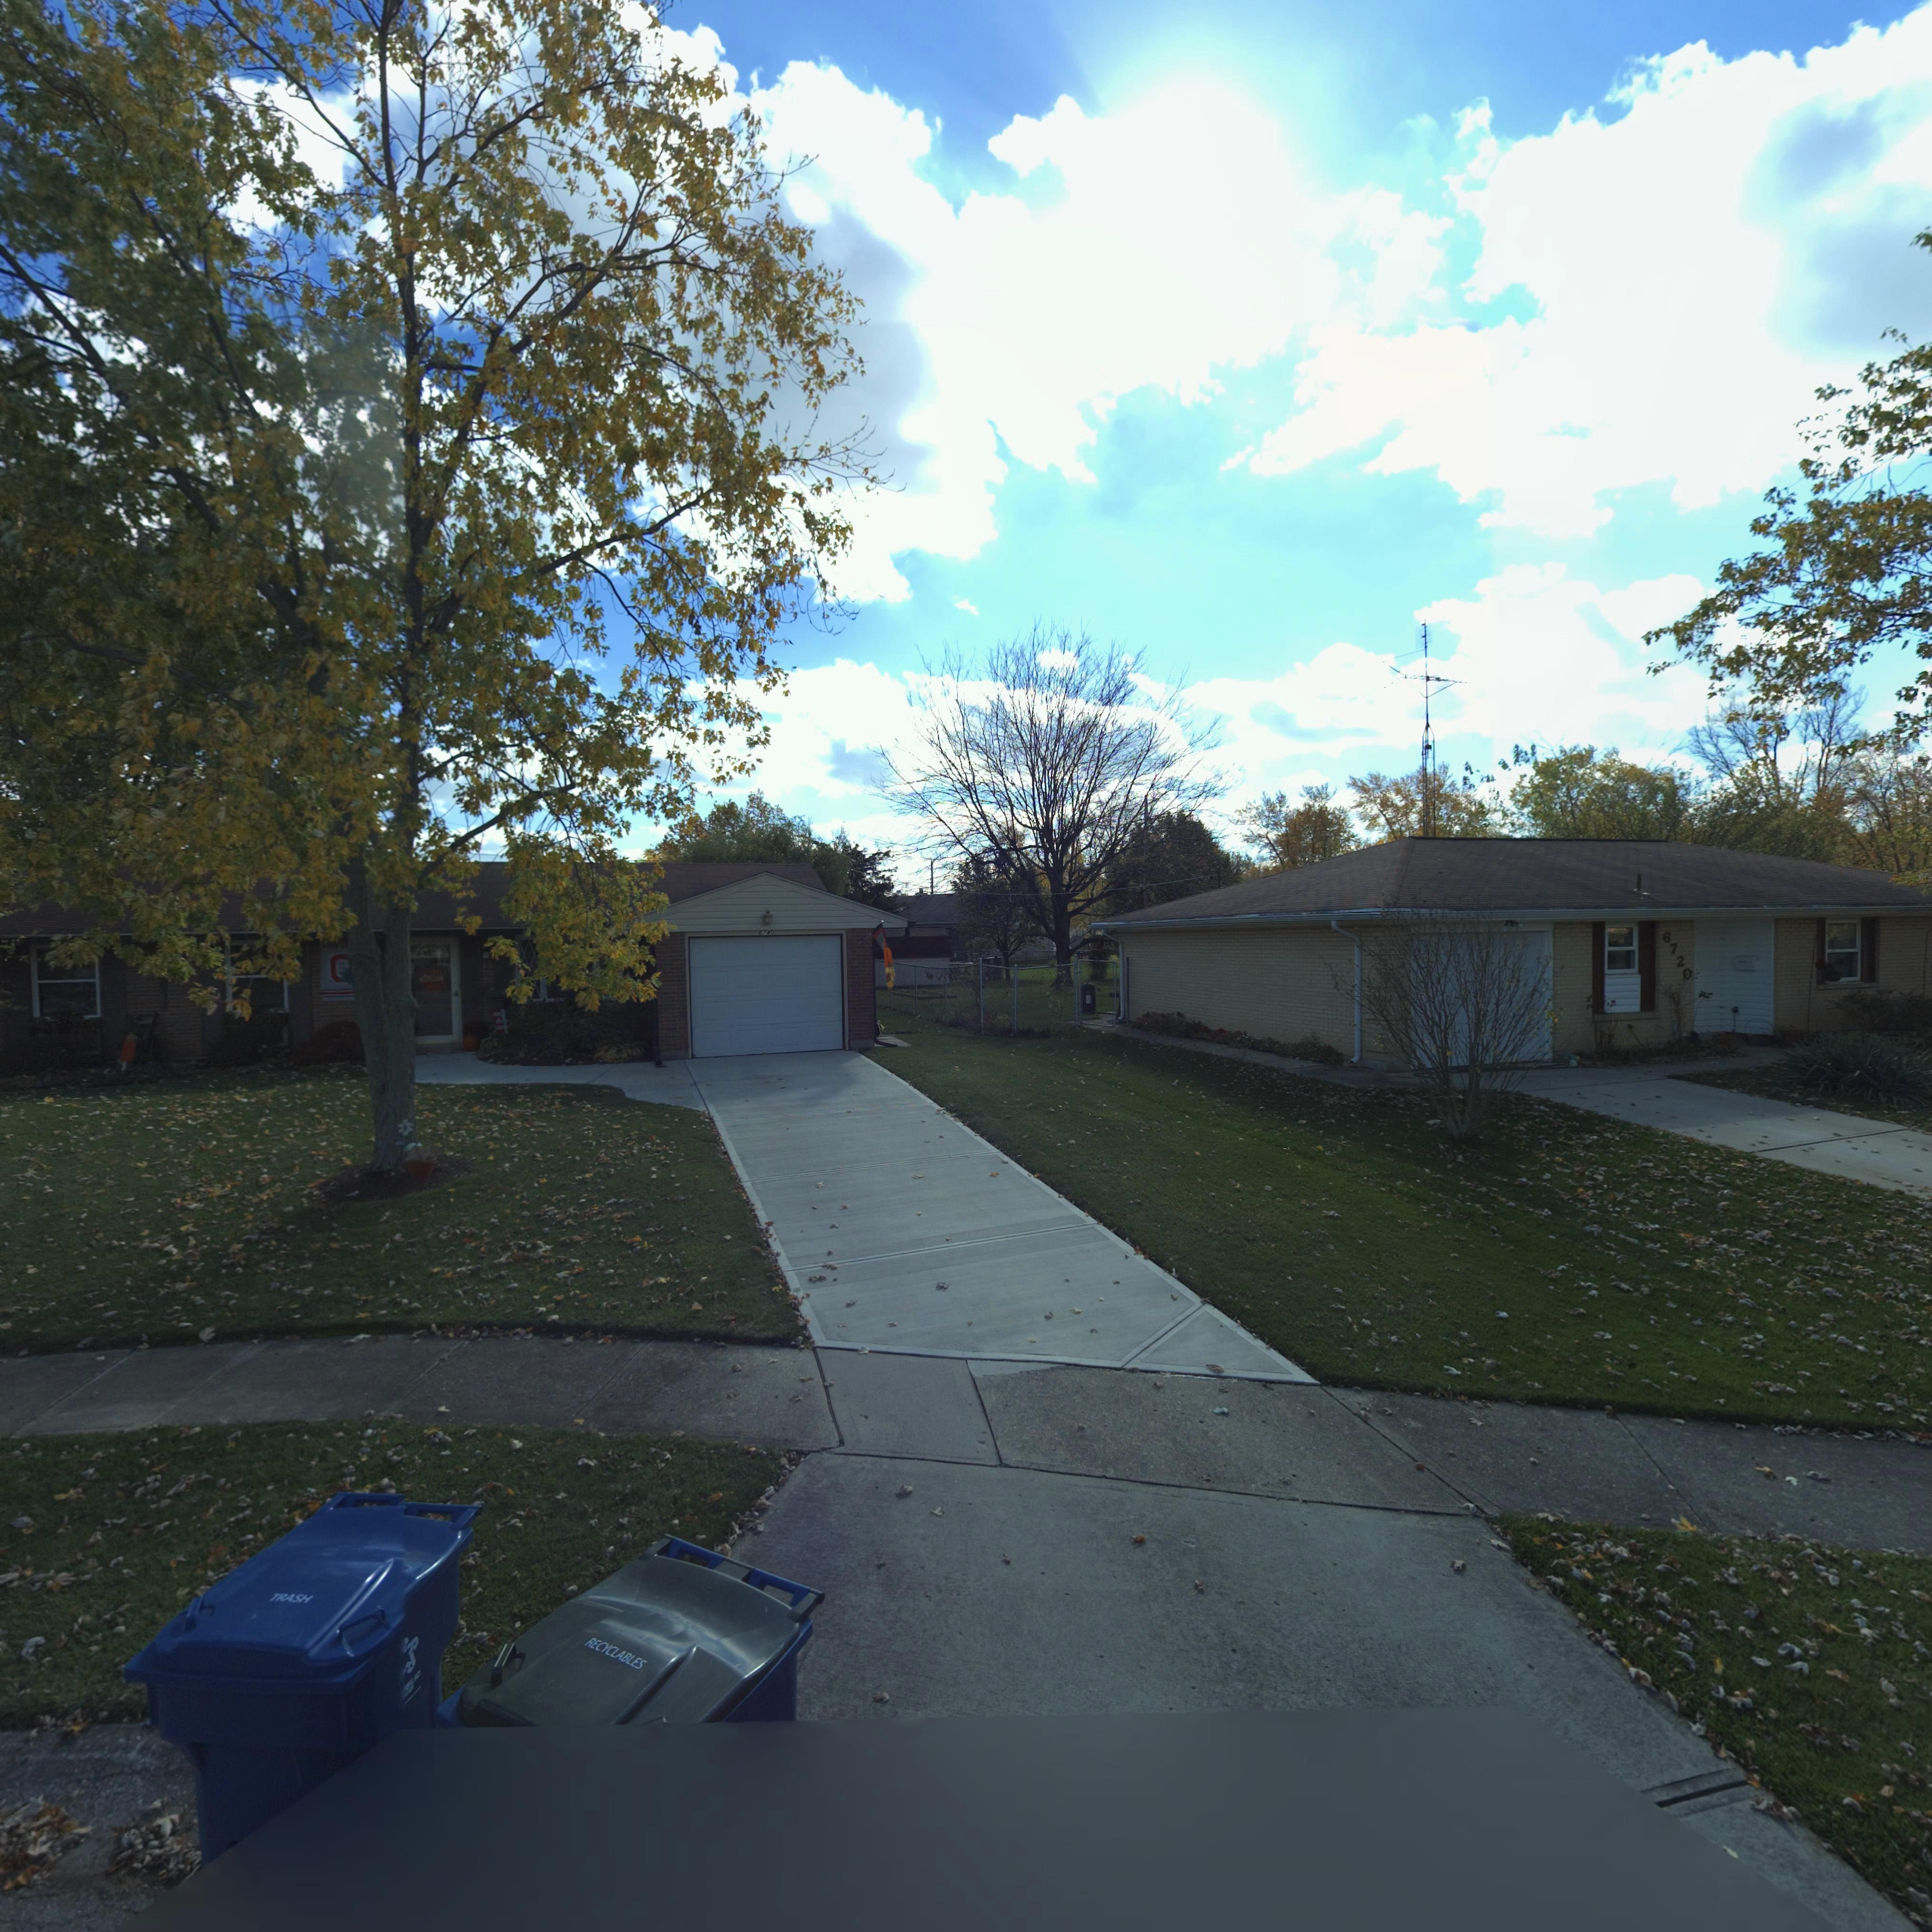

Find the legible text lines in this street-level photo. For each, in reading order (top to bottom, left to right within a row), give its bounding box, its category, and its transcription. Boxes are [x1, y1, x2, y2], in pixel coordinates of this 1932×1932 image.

[758, 929, 775, 936] StreetNumber: 6740
[1662, 930, 1693, 980] StreetNumber: 6720